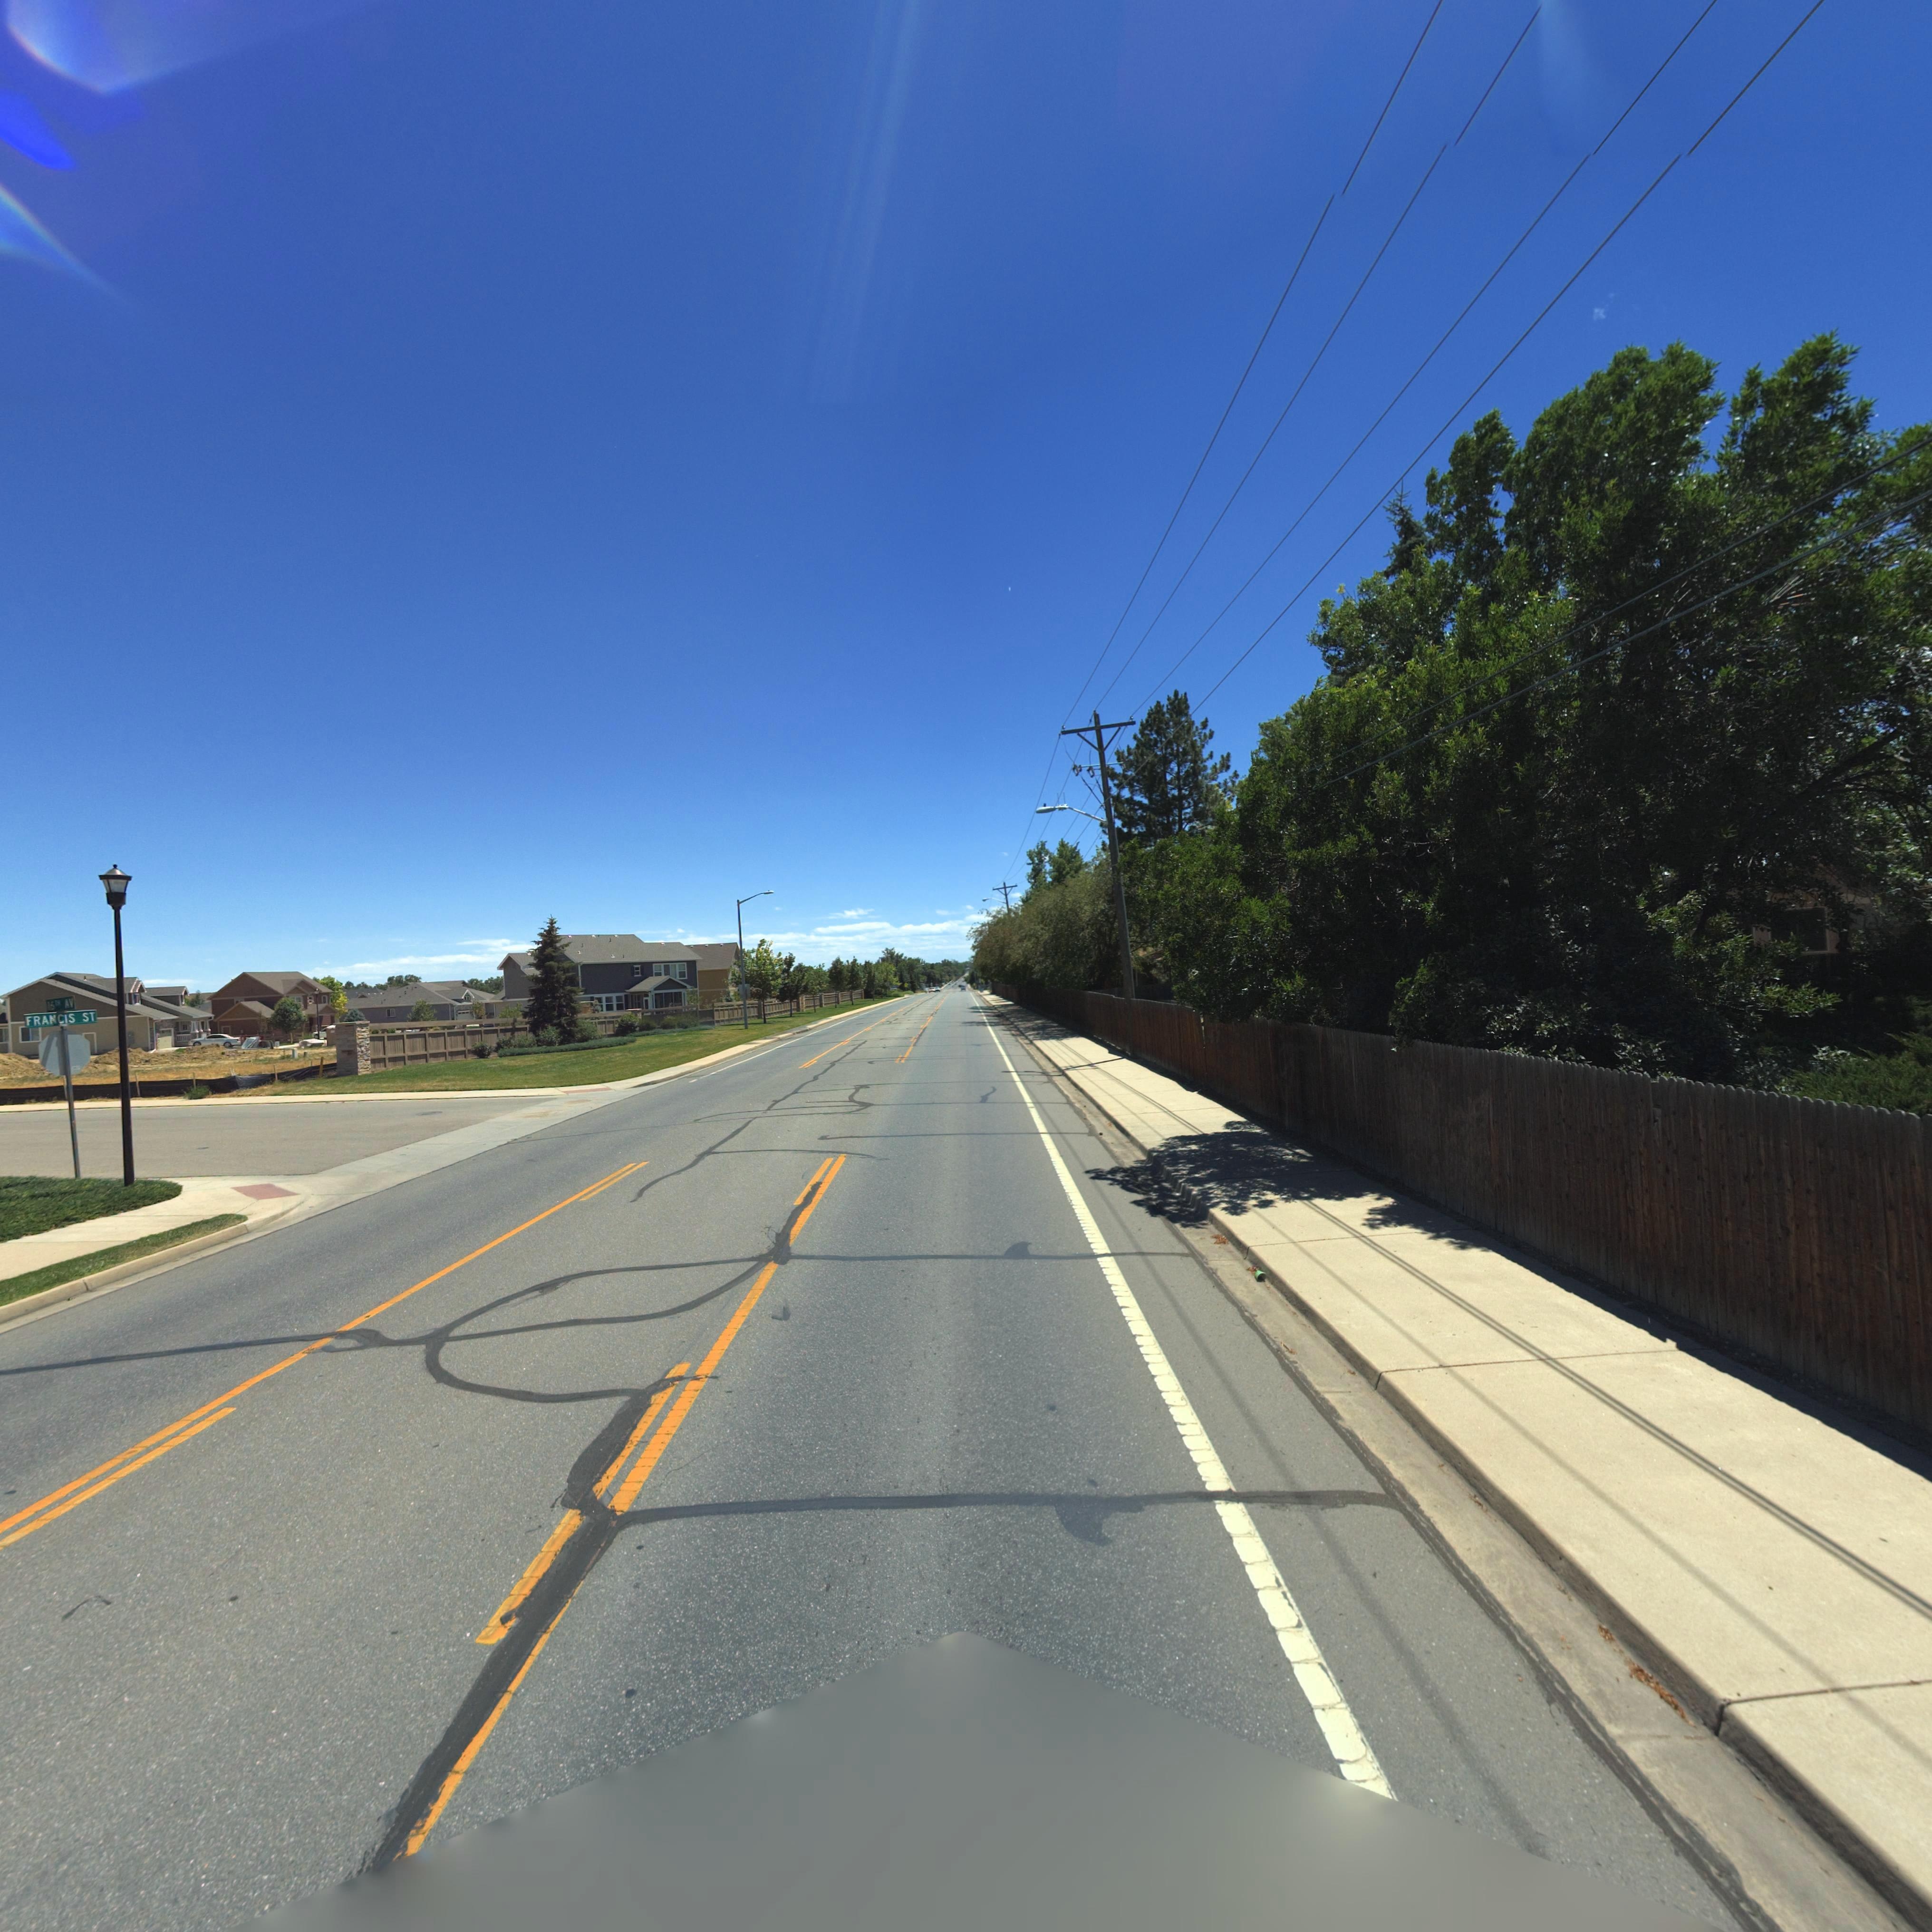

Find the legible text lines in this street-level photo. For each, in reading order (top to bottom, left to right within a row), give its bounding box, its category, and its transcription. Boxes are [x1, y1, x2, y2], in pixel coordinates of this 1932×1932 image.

[47, 997, 74, 1011] StreetName: 15TH AV
[25, 1012, 95, 1026] StreetName: FRANCIS ST